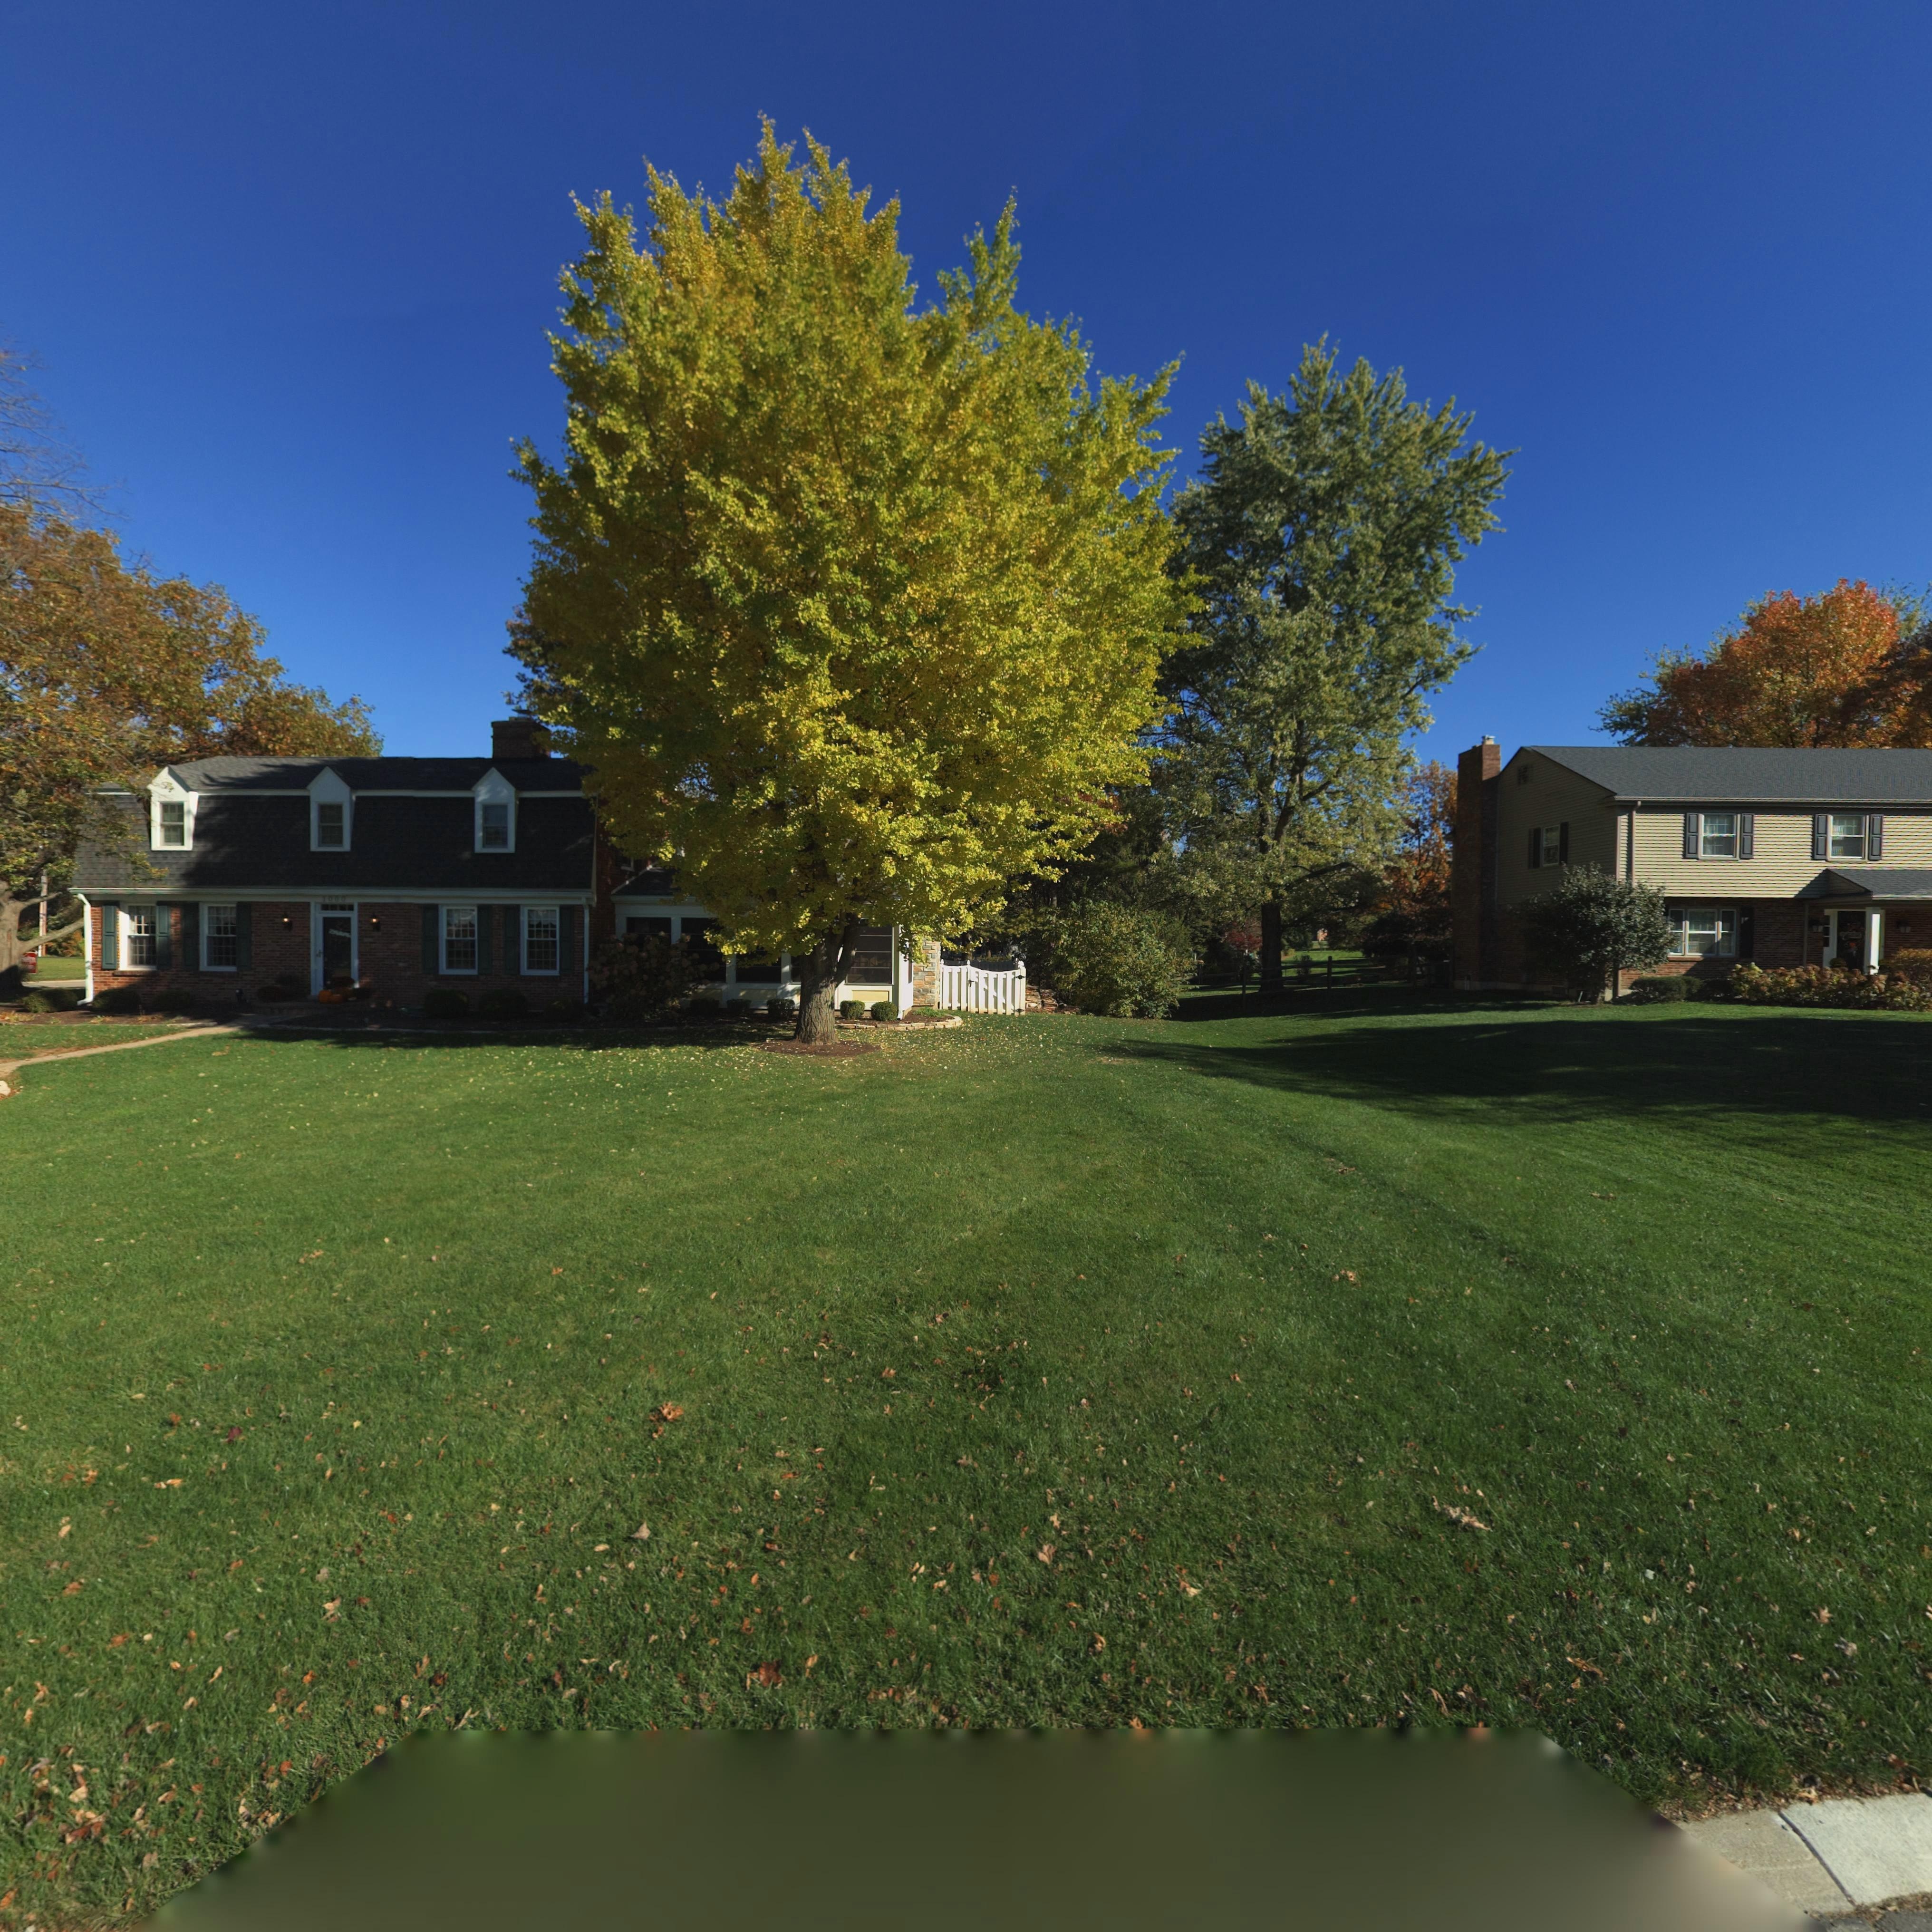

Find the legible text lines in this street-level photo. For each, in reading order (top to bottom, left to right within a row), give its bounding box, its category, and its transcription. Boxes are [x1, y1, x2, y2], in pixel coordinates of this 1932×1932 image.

[322, 895, 347, 903] StreetNumber: 1000